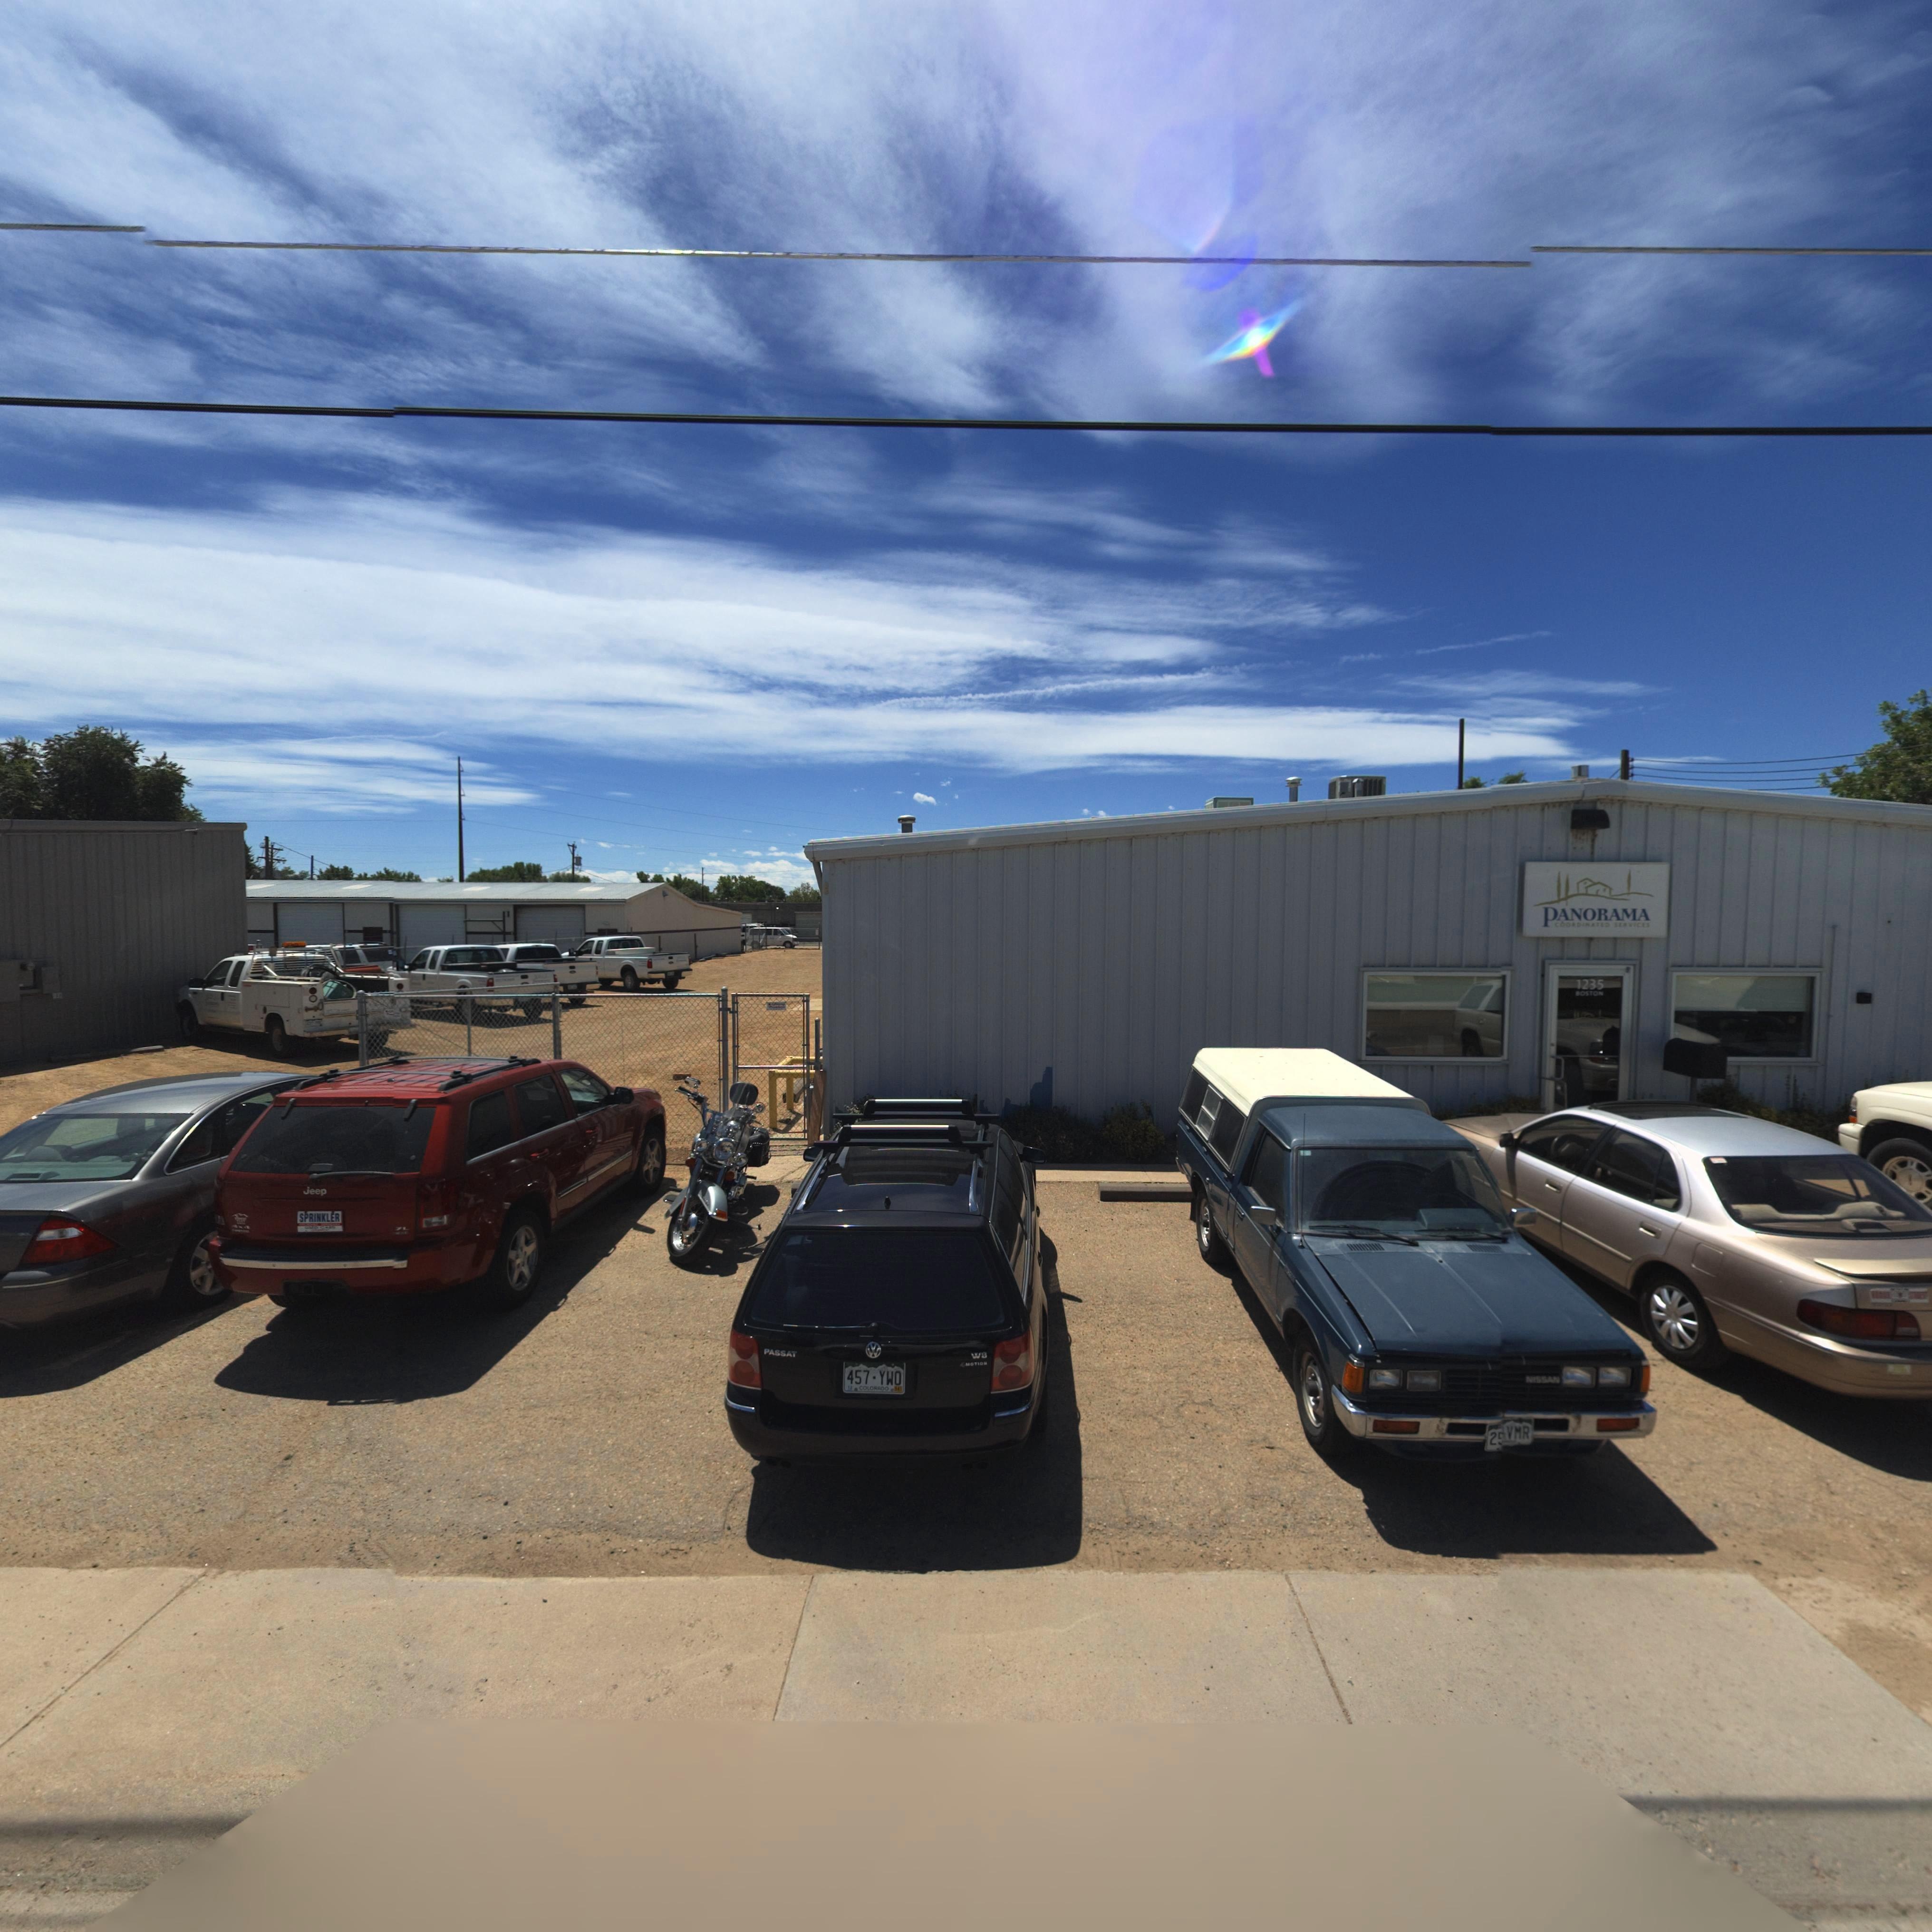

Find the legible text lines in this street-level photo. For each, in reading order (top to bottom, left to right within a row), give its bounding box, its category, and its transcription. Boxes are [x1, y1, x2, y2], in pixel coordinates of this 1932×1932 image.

[1541, 906, 1652, 927] BusinessName: PANORAMA
[1554, 921, 1651, 927] BusinessName: COO*DINATED SERVICES
[1576, 979, 1604, 990] StreetNumber: 1235
[1575, 990, 1604, 996] StreetName: BOSTON